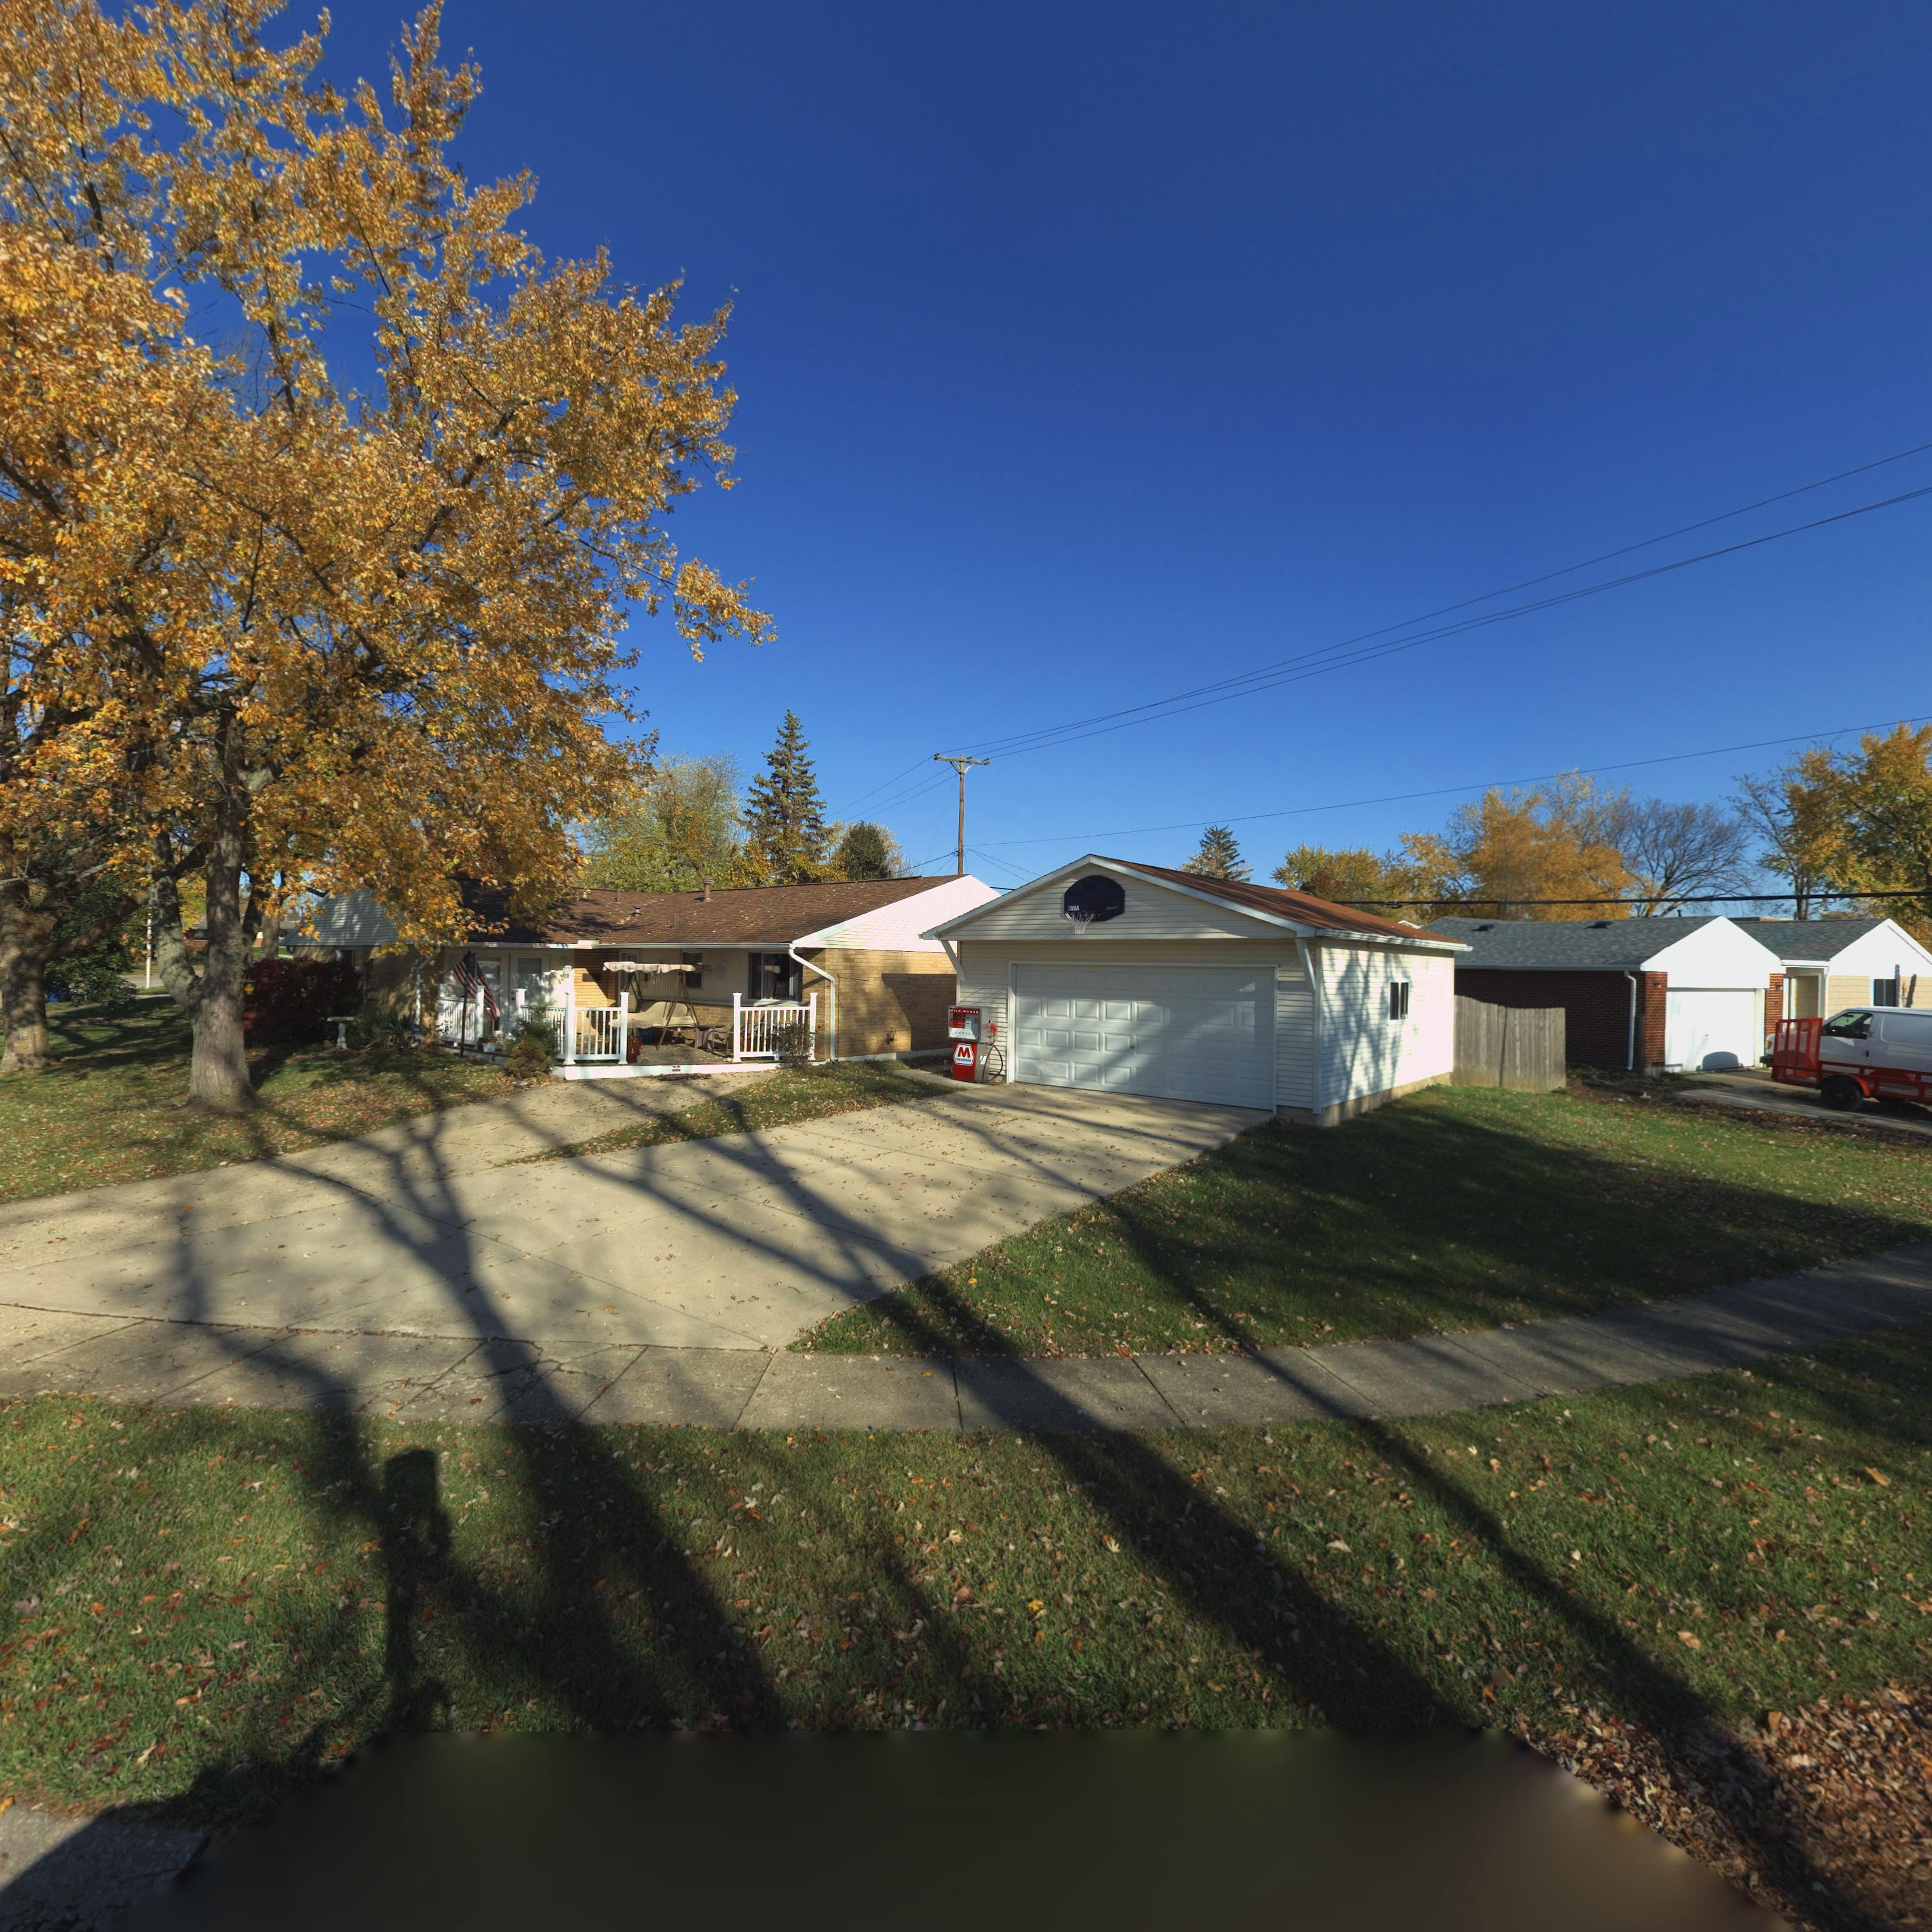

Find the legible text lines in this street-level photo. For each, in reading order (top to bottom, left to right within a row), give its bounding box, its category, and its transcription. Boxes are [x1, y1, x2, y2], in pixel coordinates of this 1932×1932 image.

[648, 976, 661, 988] StreetNumber: 751*